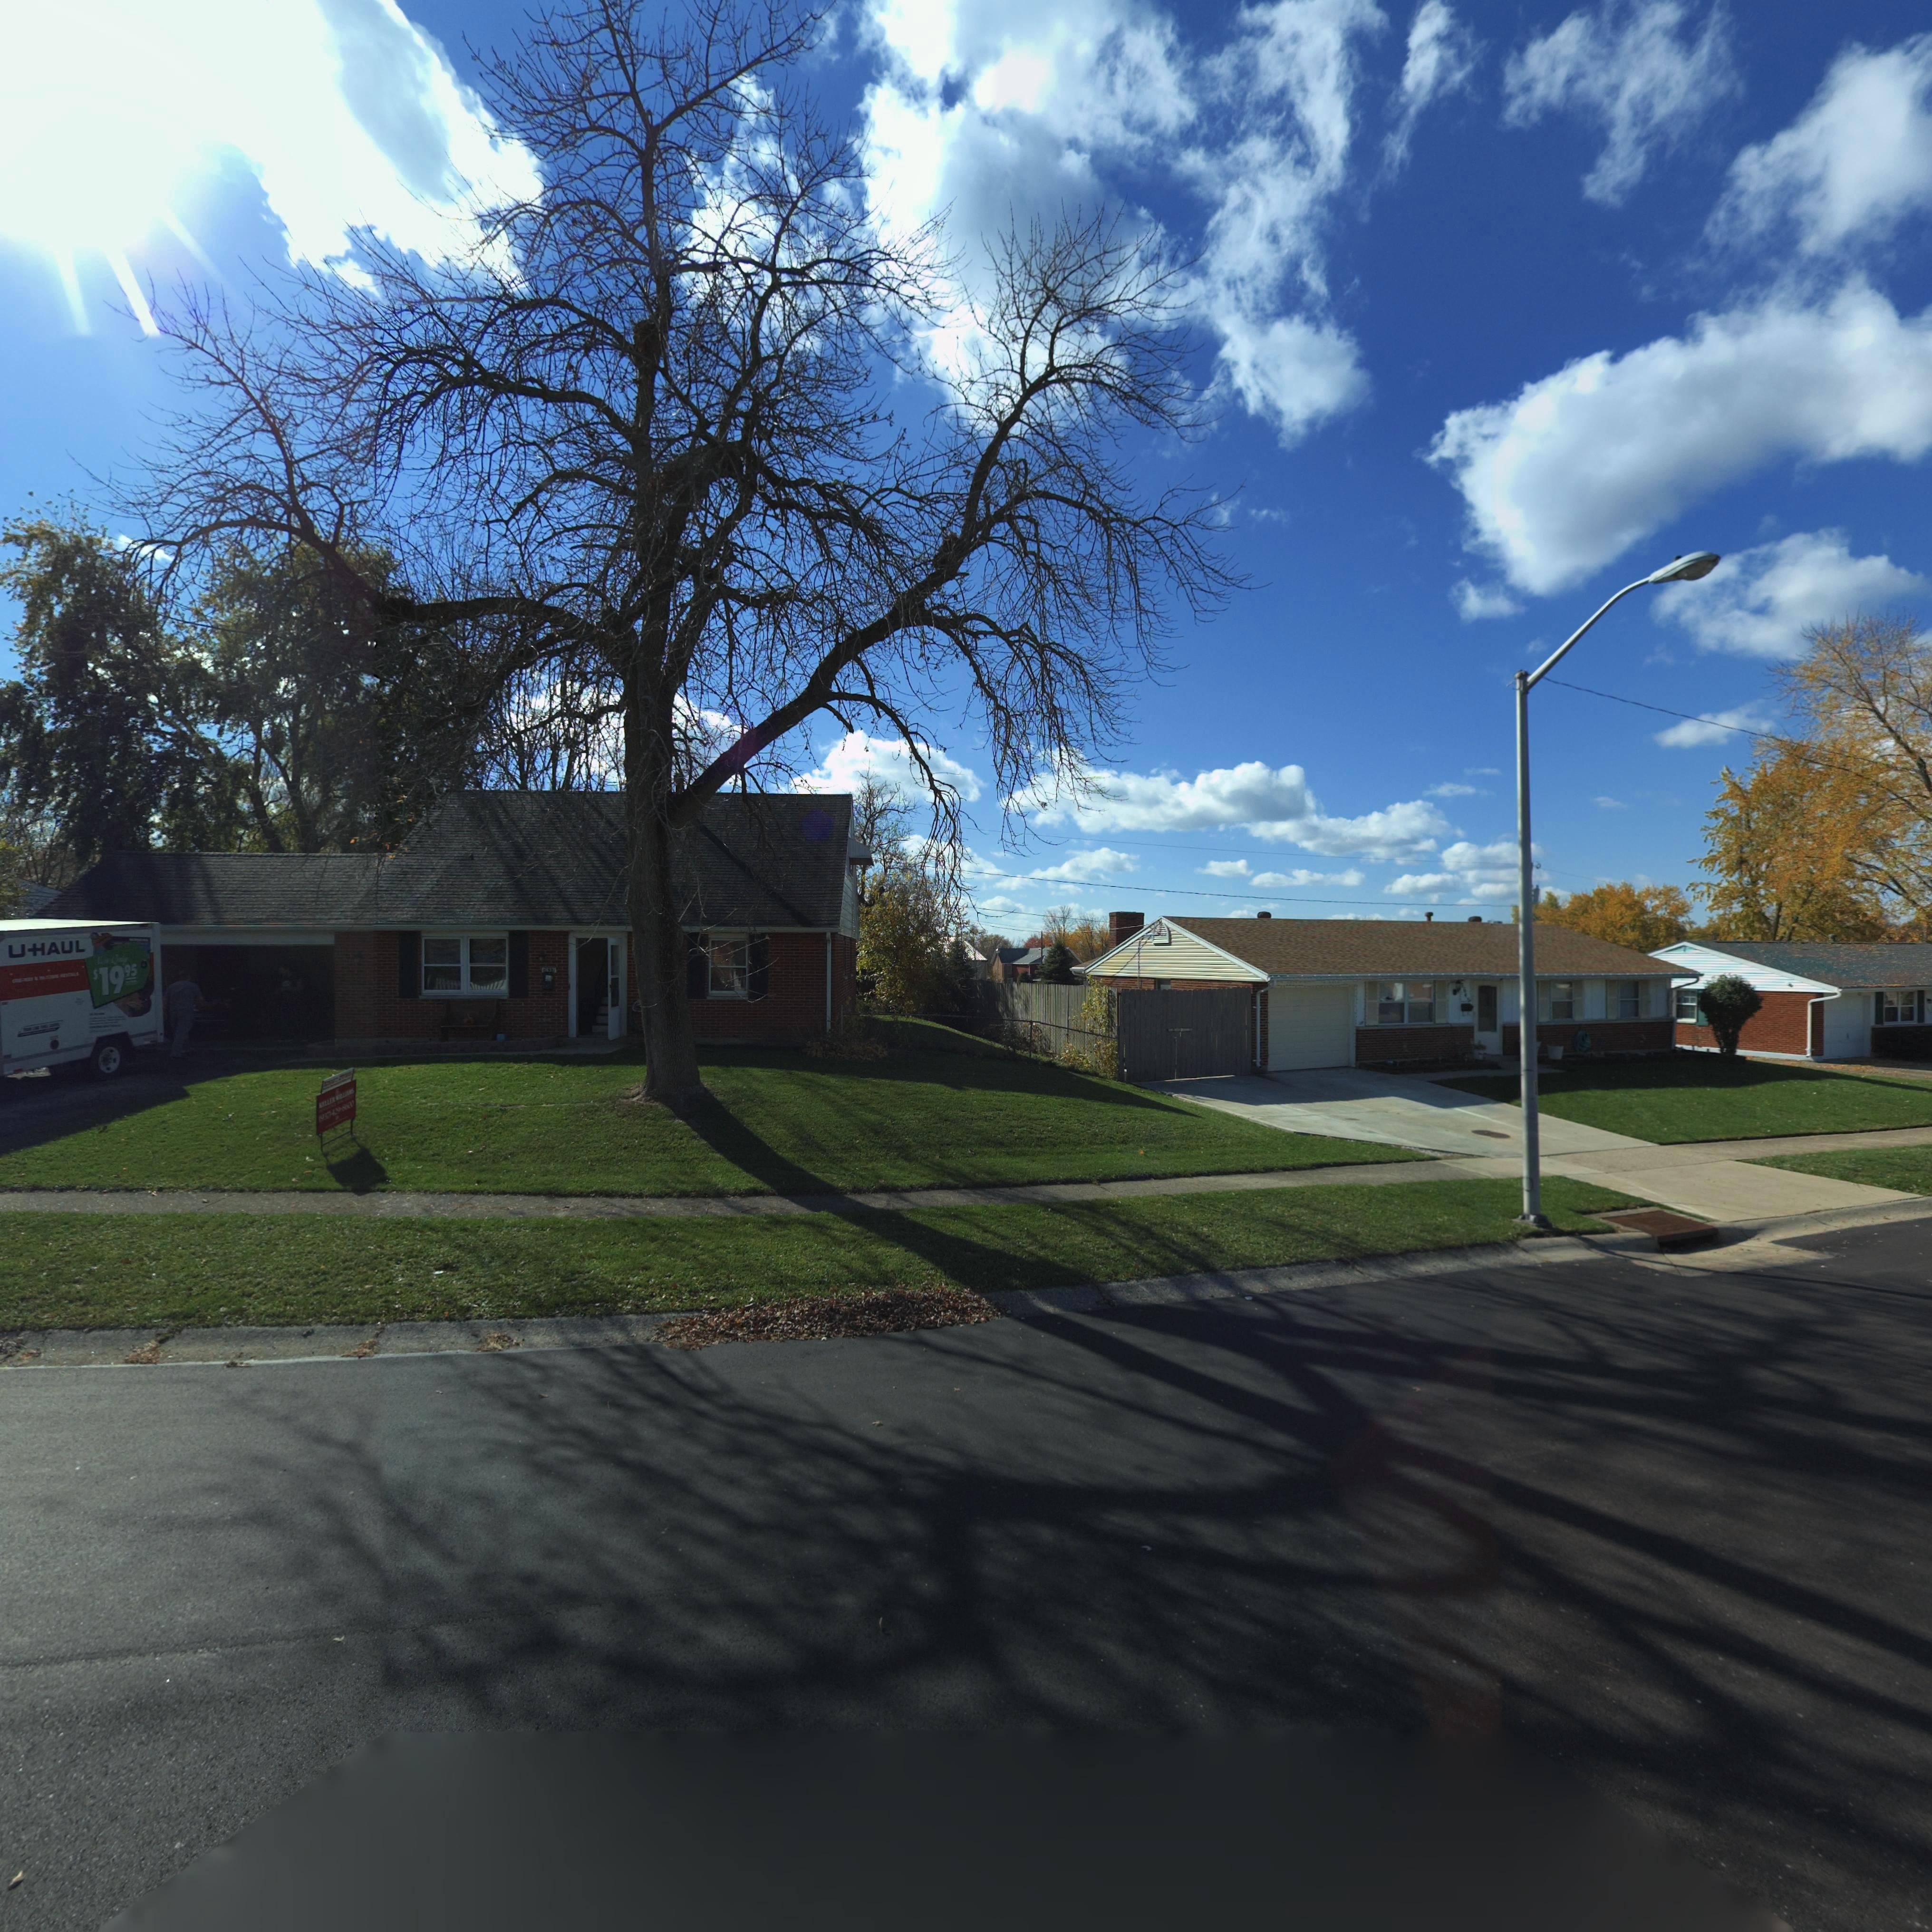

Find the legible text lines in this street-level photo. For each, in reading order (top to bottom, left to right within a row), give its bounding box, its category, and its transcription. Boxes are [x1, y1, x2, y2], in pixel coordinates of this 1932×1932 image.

[543, 967, 555, 972] StreetNumber: 7637
[1459, 982, 1468, 998] StreetNumber: 764